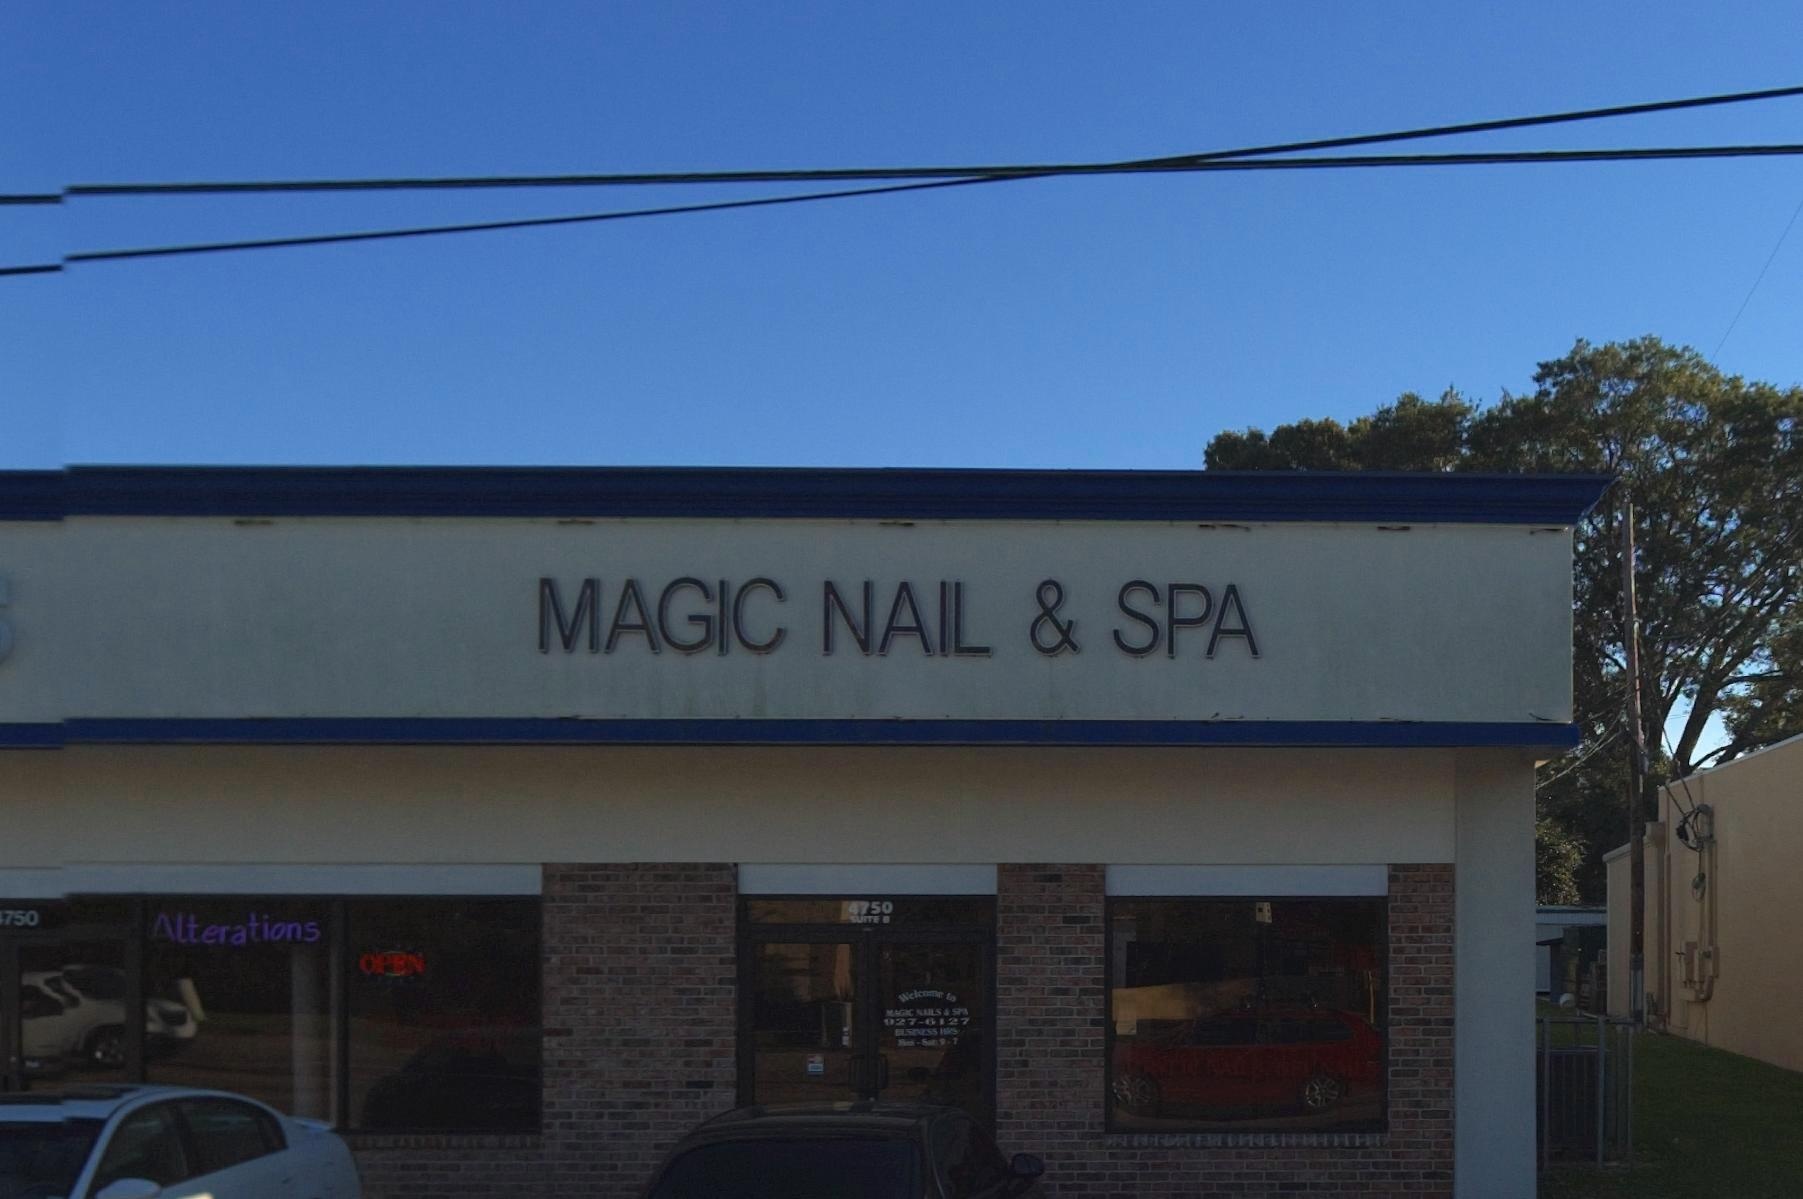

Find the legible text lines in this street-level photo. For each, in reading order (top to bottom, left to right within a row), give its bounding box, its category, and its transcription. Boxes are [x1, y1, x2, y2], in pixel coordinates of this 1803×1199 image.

[536, 575, 1262, 661] BusinessName: MAGIC NAIL & SPA
[848, 900, 894, 915] StreetNumber: 4750
[3, 907, 42, 928] StreetNumber: 750
[848, 915, 891, 924] SecondaryUnitDesignator: SUITE B
[147, 908, 323, 948] None: Alterations
[359, 952, 425, 976] None: OPEN
[897, 989, 957, 1004] None: Welcome to
[884, 1006, 970, 1018] BusinessName: MAGIC NAILS & SPA
[882, 1017, 971, 1026] None: 927-6127
[894, 1026, 961, 1038] None: BUSINESS HRS
[897, 1037, 960, 1048] None: Mon-Sat *-7